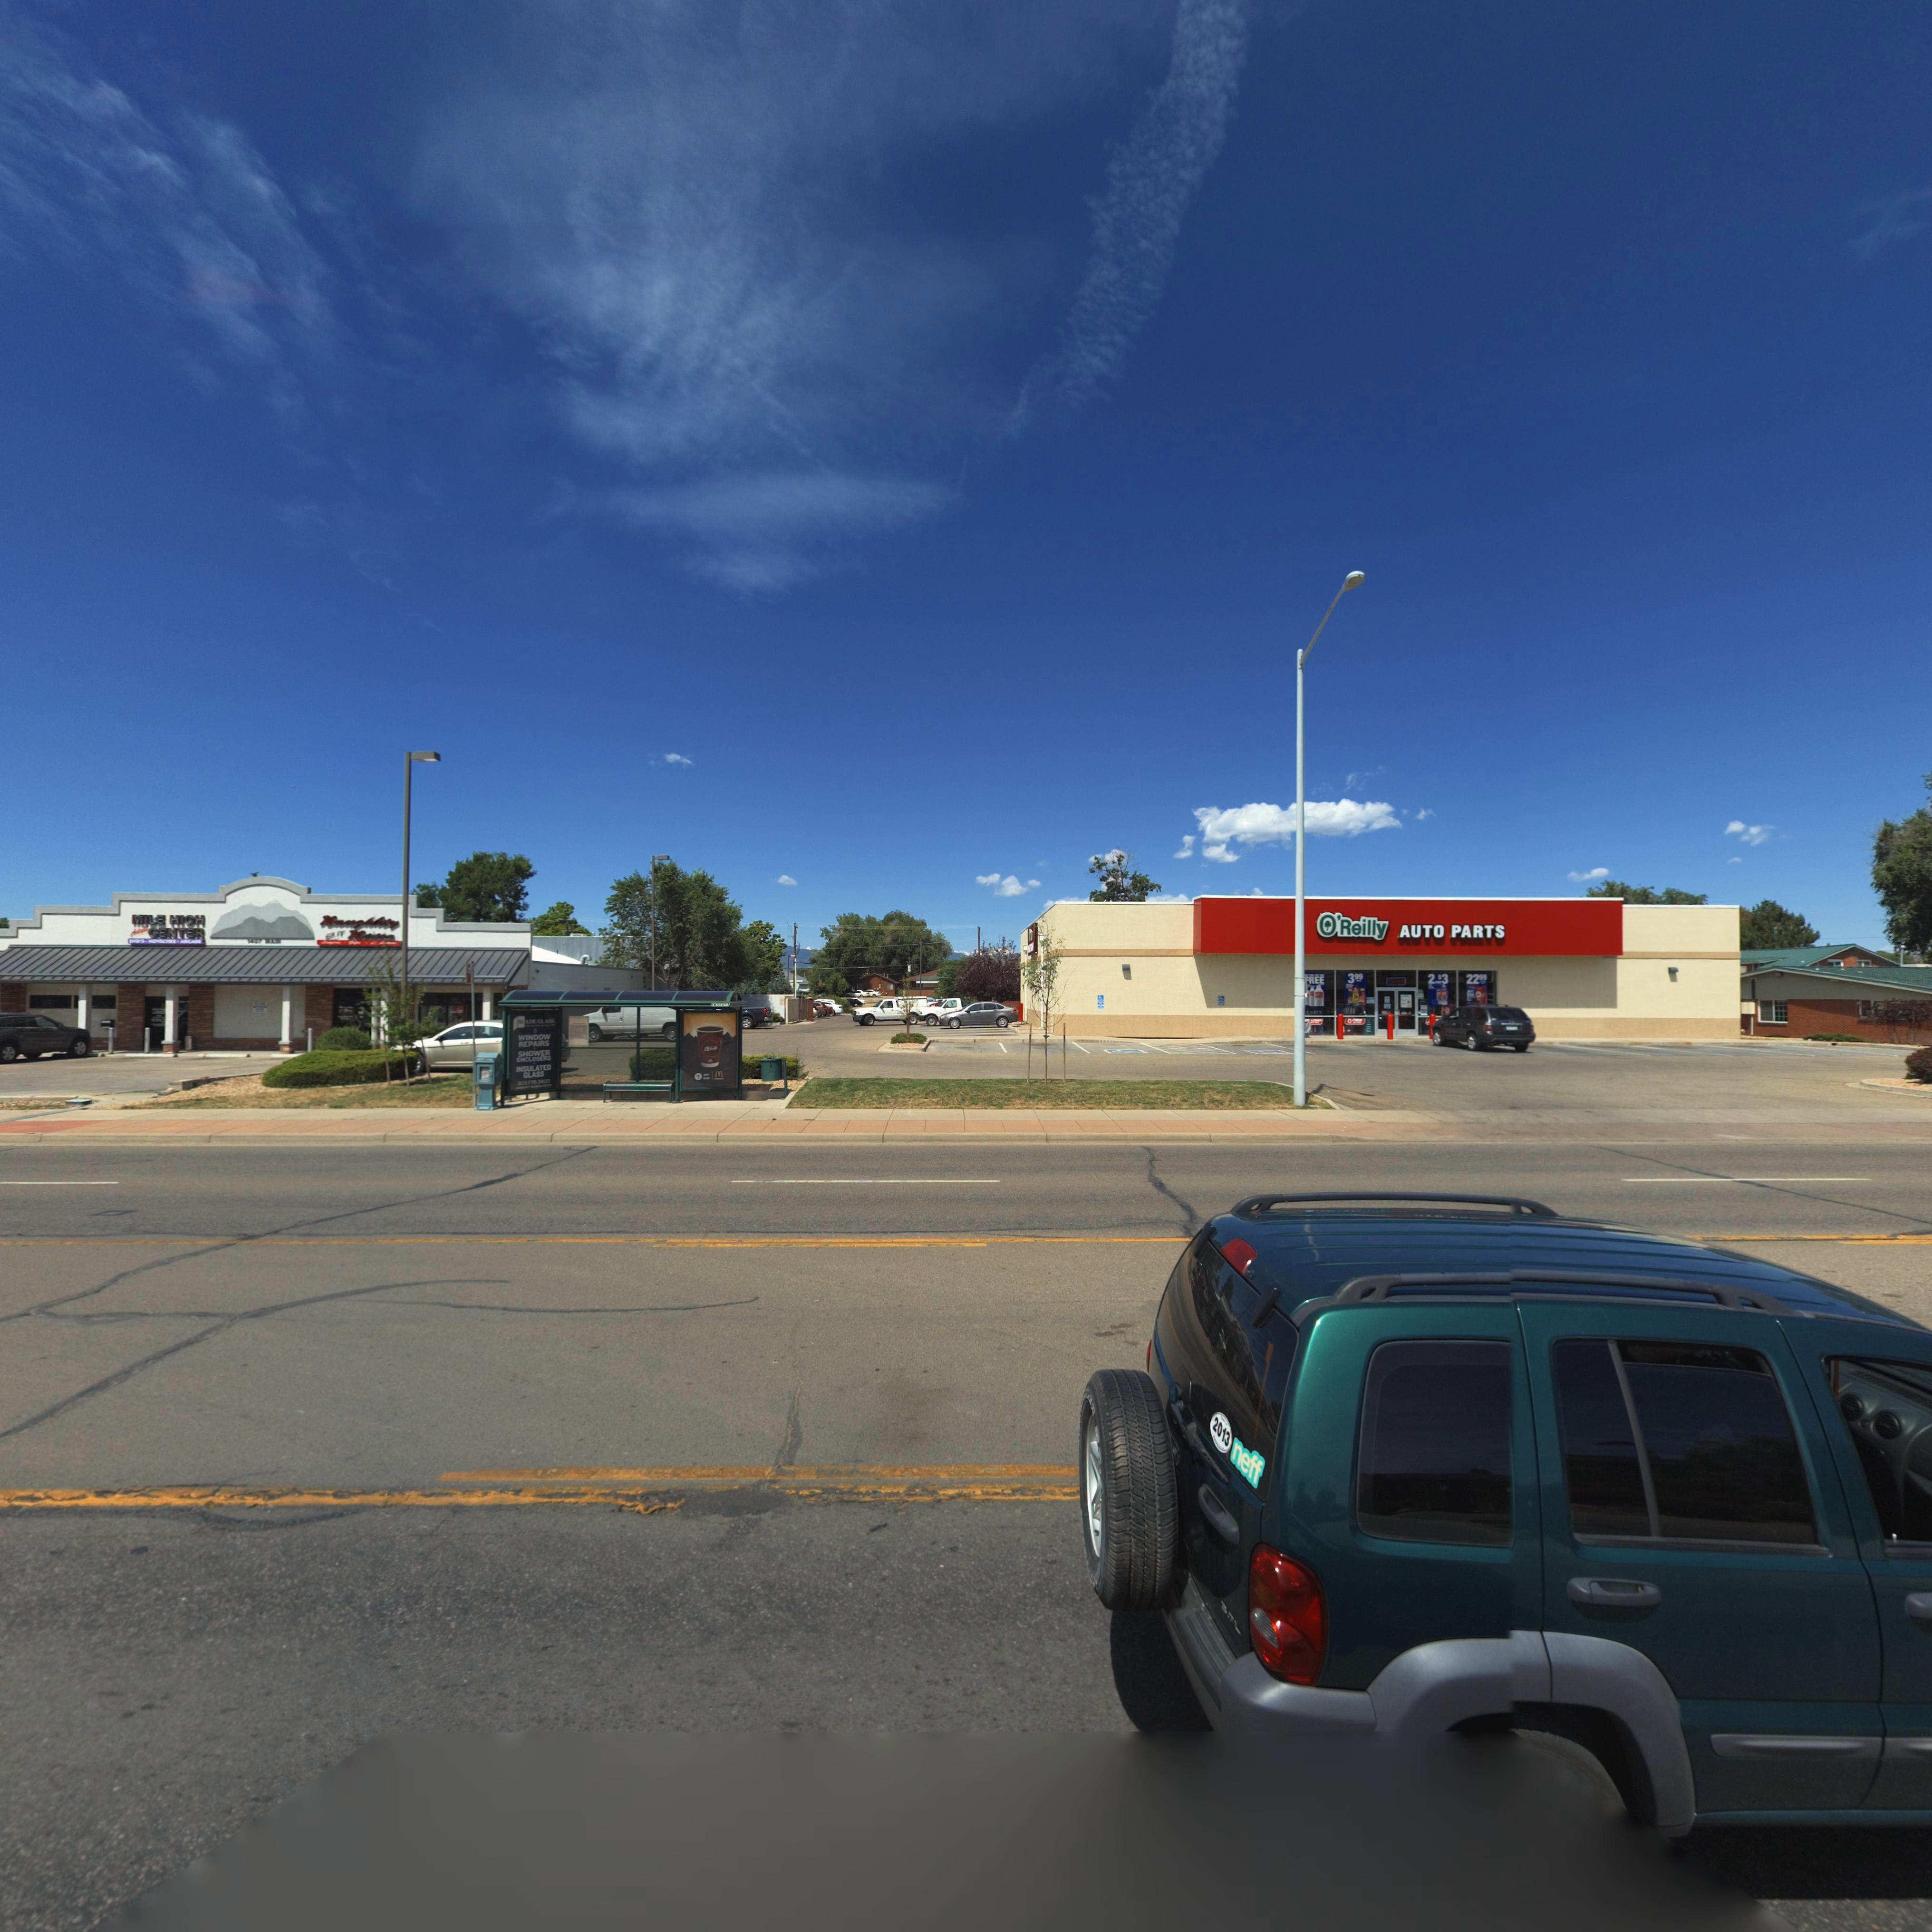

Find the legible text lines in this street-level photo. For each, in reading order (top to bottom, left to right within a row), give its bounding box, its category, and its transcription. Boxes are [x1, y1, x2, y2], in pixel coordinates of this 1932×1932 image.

[131, 914, 205, 925] BusinessName: MILE HIGH
[318, 915, 400, 930] BusinessName: na*g*hty
[1316, 911, 1506, 939] BusinessName: *'Reilly AUTO PARTS
[147, 927, 204, 938] BusinessName: CENTER
[246, 938, 262, 944] StreetNumber: *407
[264, 937, 282, 944] StreetName: ***N
[325, 930, 346, 940] BusinessName: BUT
[346, 929, 395, 941] BusinessName: n***